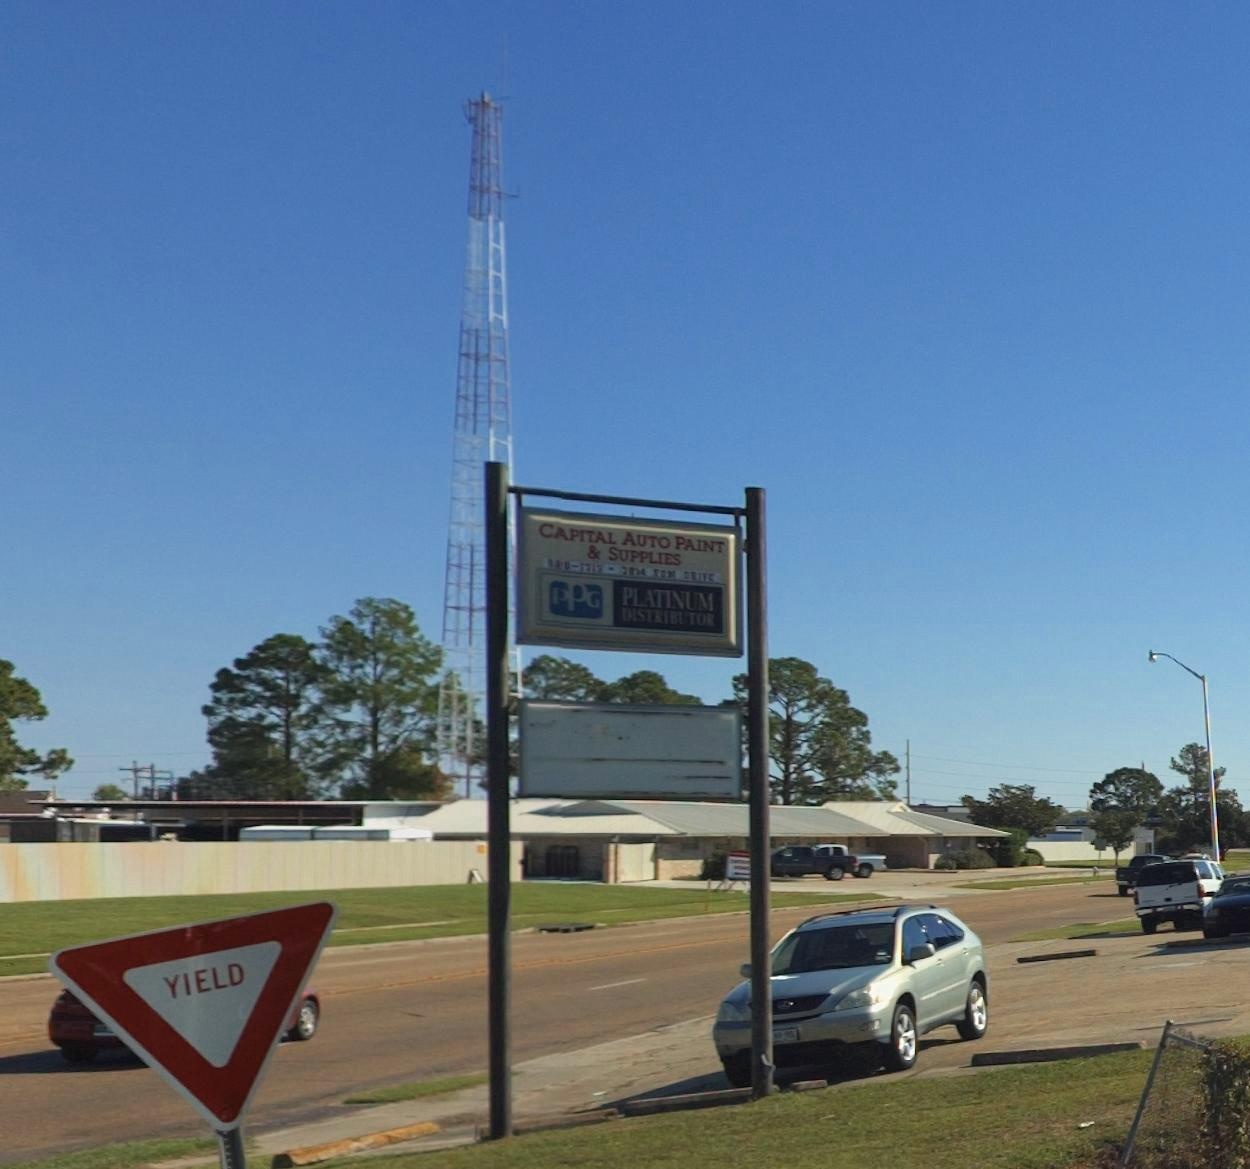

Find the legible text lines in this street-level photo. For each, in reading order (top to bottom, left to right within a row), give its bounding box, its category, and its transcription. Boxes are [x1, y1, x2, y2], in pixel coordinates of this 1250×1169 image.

[535, 519, 728, 556] BusinessName: CAPITAL AUTO PAINT
[606, 545, 685, 569] BusinessName: SUPPLIES
[548, 578, 603, 615] None: PPG
[619, 584, 717, 614] None: PLATINUM
[619, 605, 718, 629] None: DISTRIBUTOR
[158, 959, 248, 1004] None: YIELD